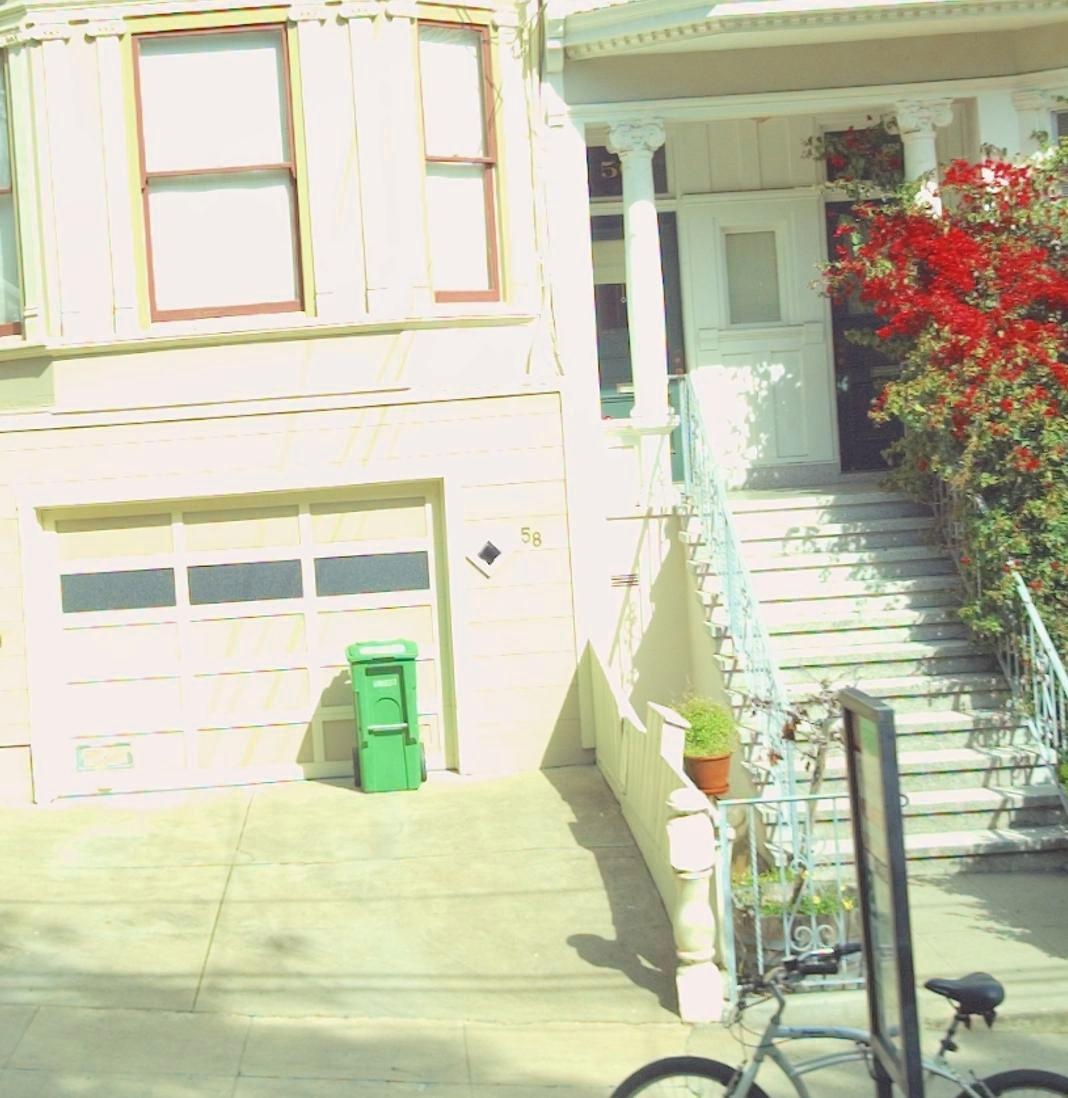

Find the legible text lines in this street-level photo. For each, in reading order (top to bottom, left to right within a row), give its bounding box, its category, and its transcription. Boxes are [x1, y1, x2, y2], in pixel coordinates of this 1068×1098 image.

[598, 160, 620, 179] StreetNumber: 5
[520, 525, 544, 549] StreetNumber: 58